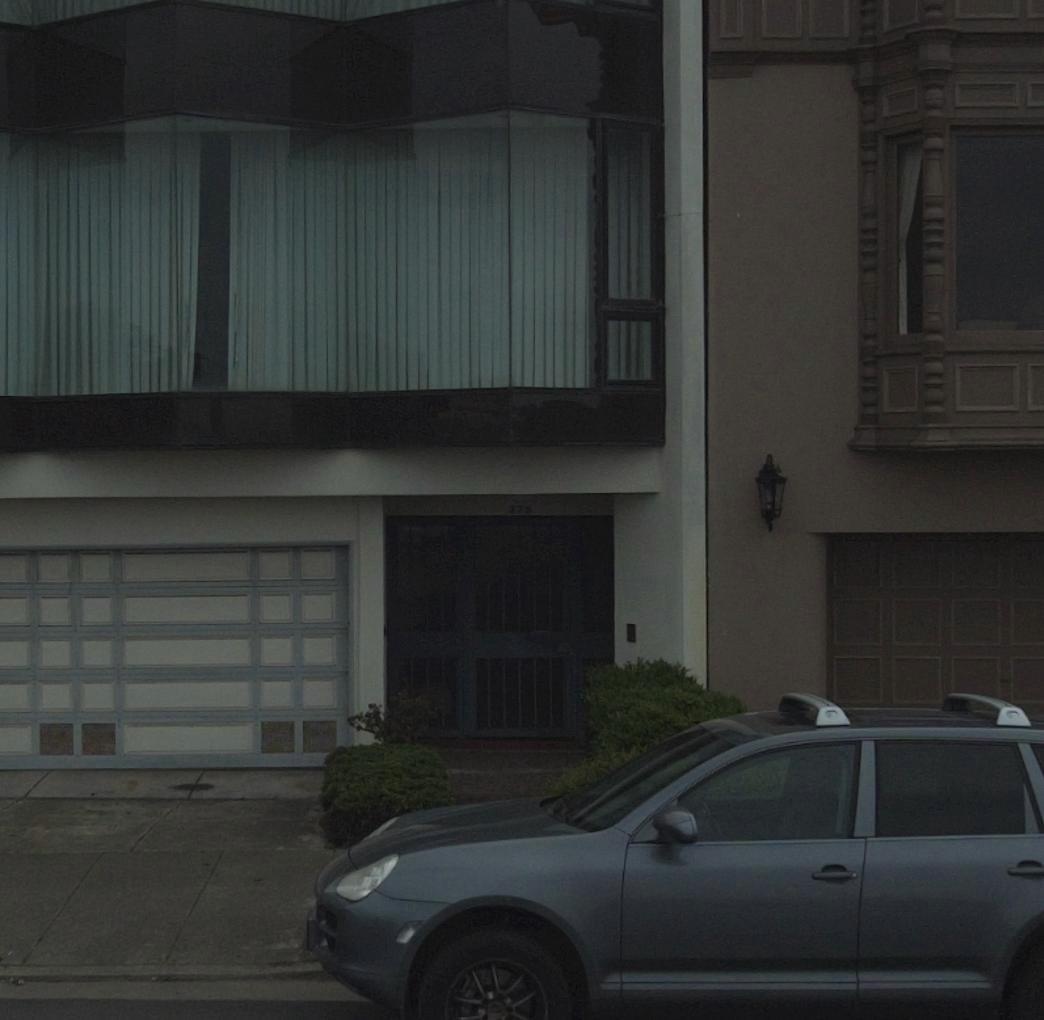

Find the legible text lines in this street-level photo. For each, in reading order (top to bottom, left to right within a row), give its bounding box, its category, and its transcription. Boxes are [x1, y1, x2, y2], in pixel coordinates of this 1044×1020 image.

[507, 504, 533, 515] StreetNumber: 273